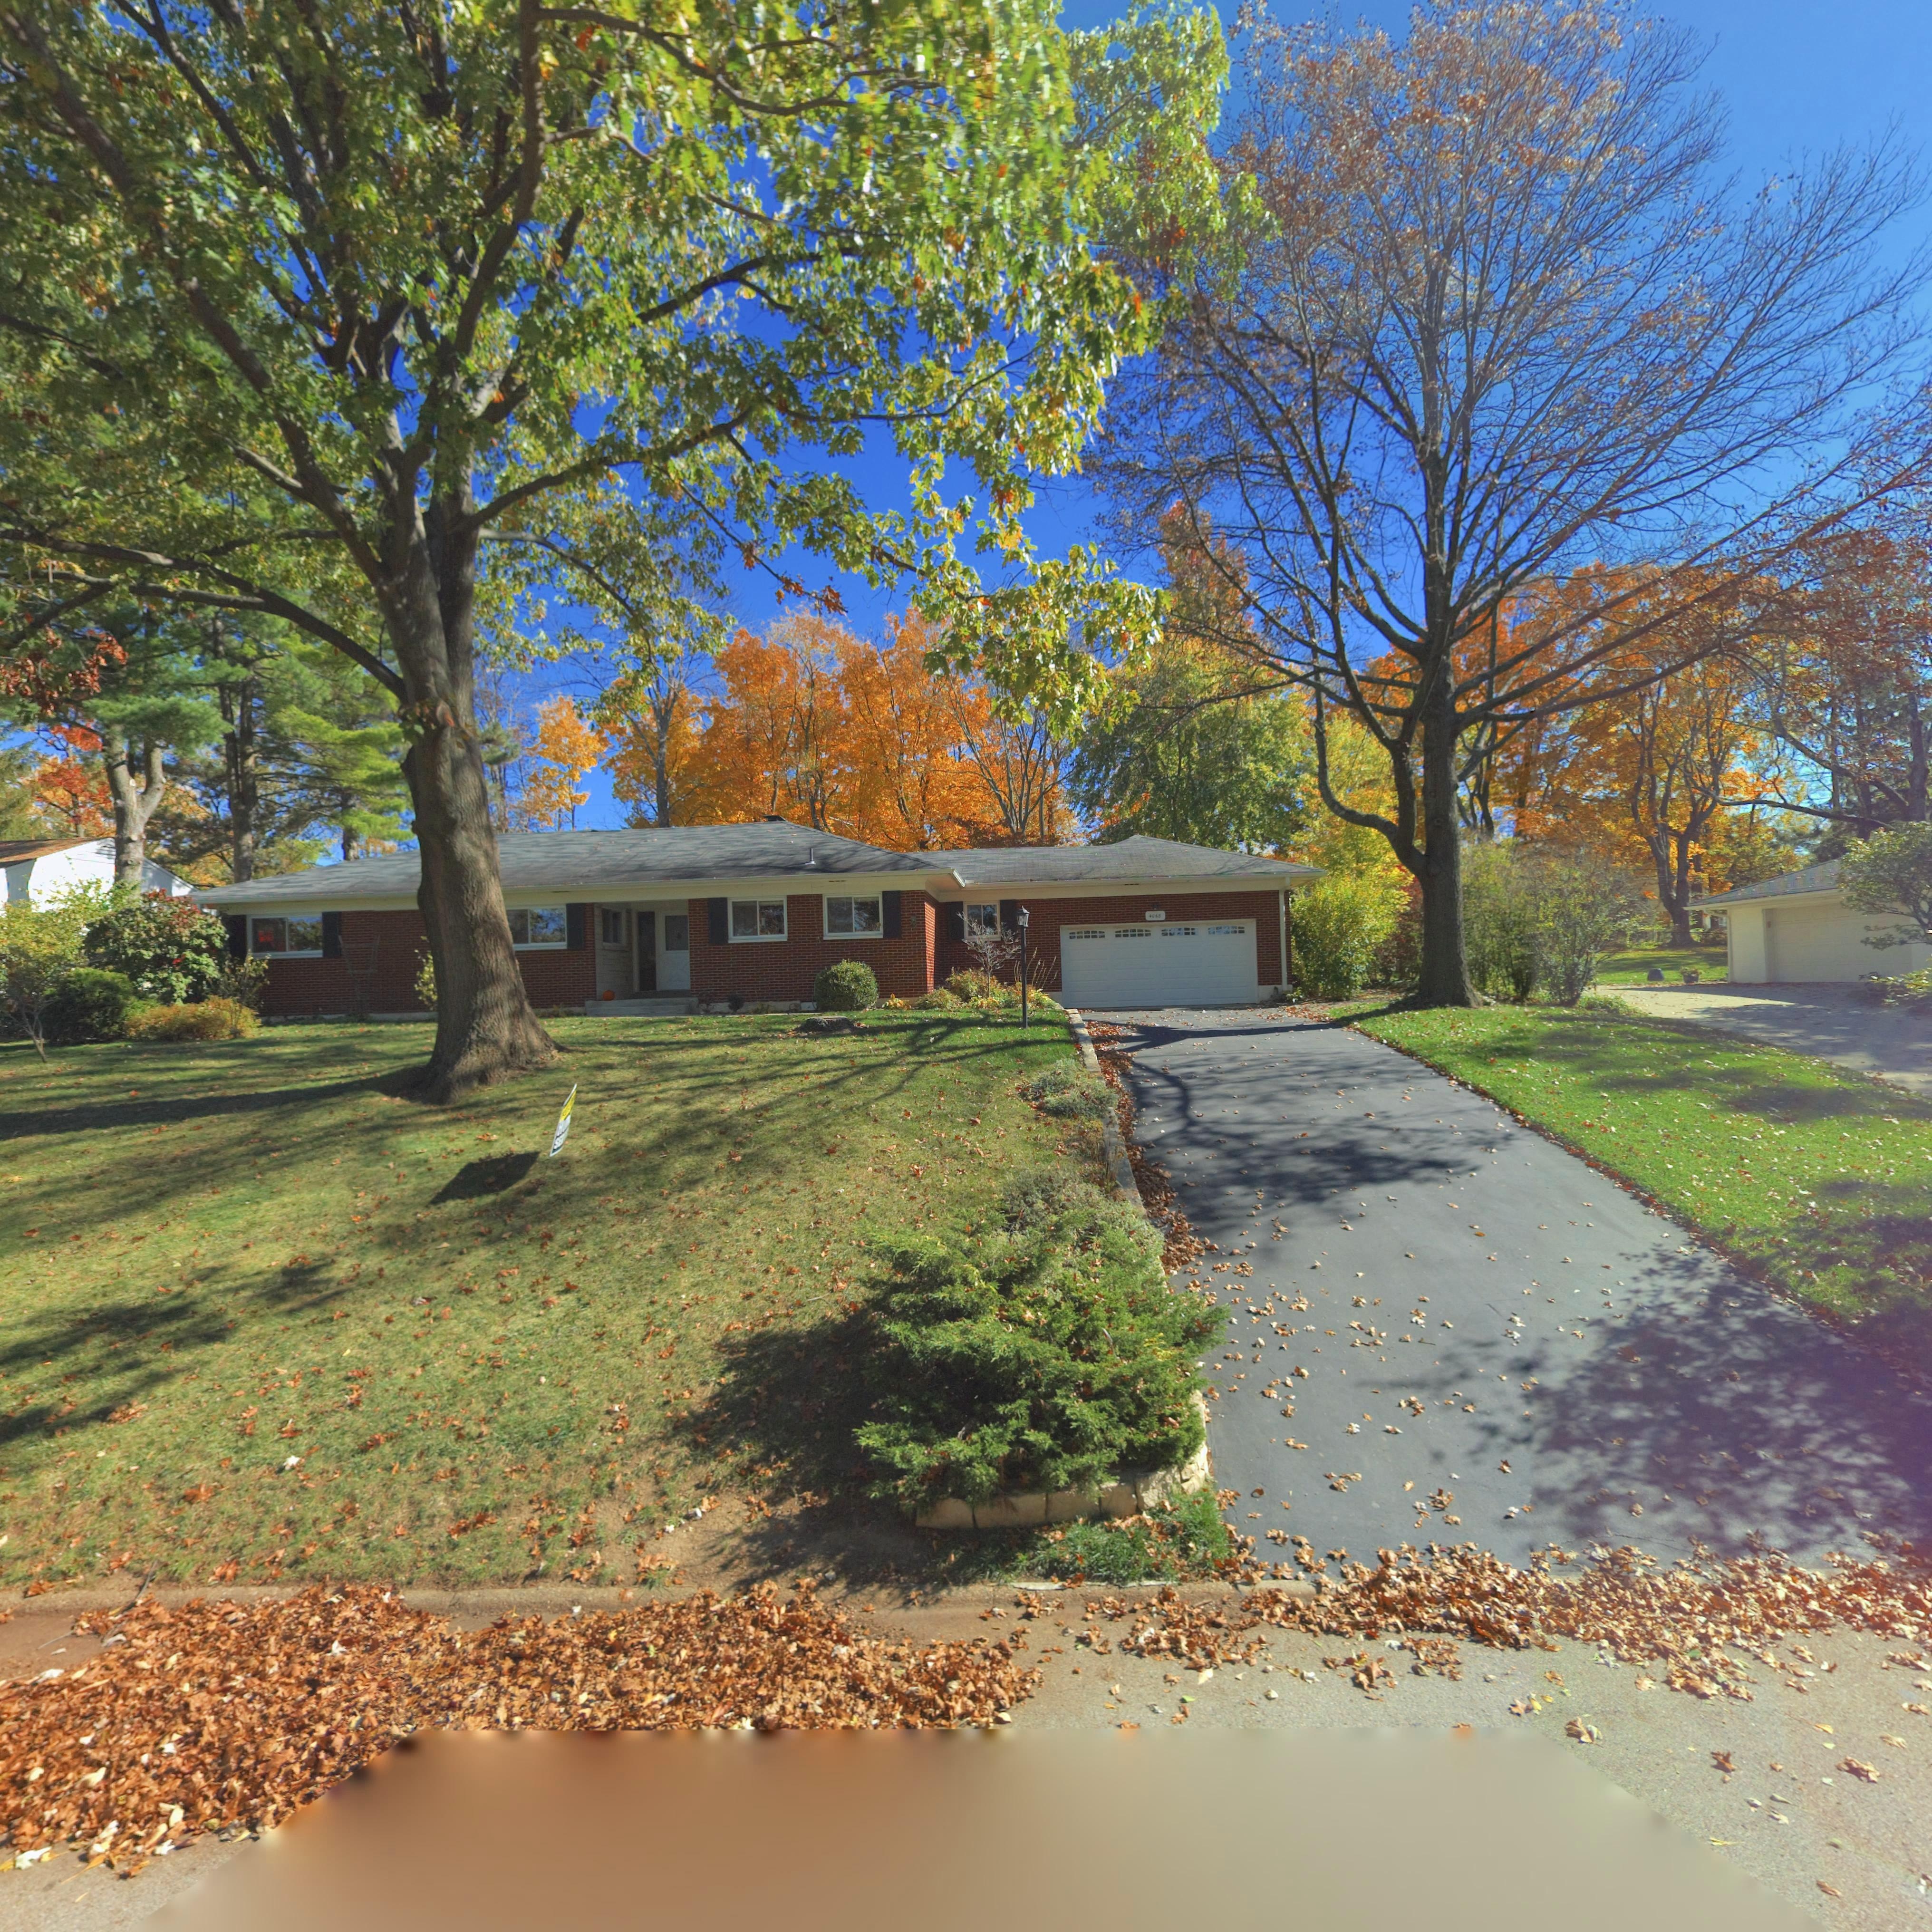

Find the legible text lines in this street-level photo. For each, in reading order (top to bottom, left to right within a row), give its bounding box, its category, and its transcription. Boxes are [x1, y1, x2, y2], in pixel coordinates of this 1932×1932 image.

[1148, 913, 1162, 918] StreetNumber: 406*